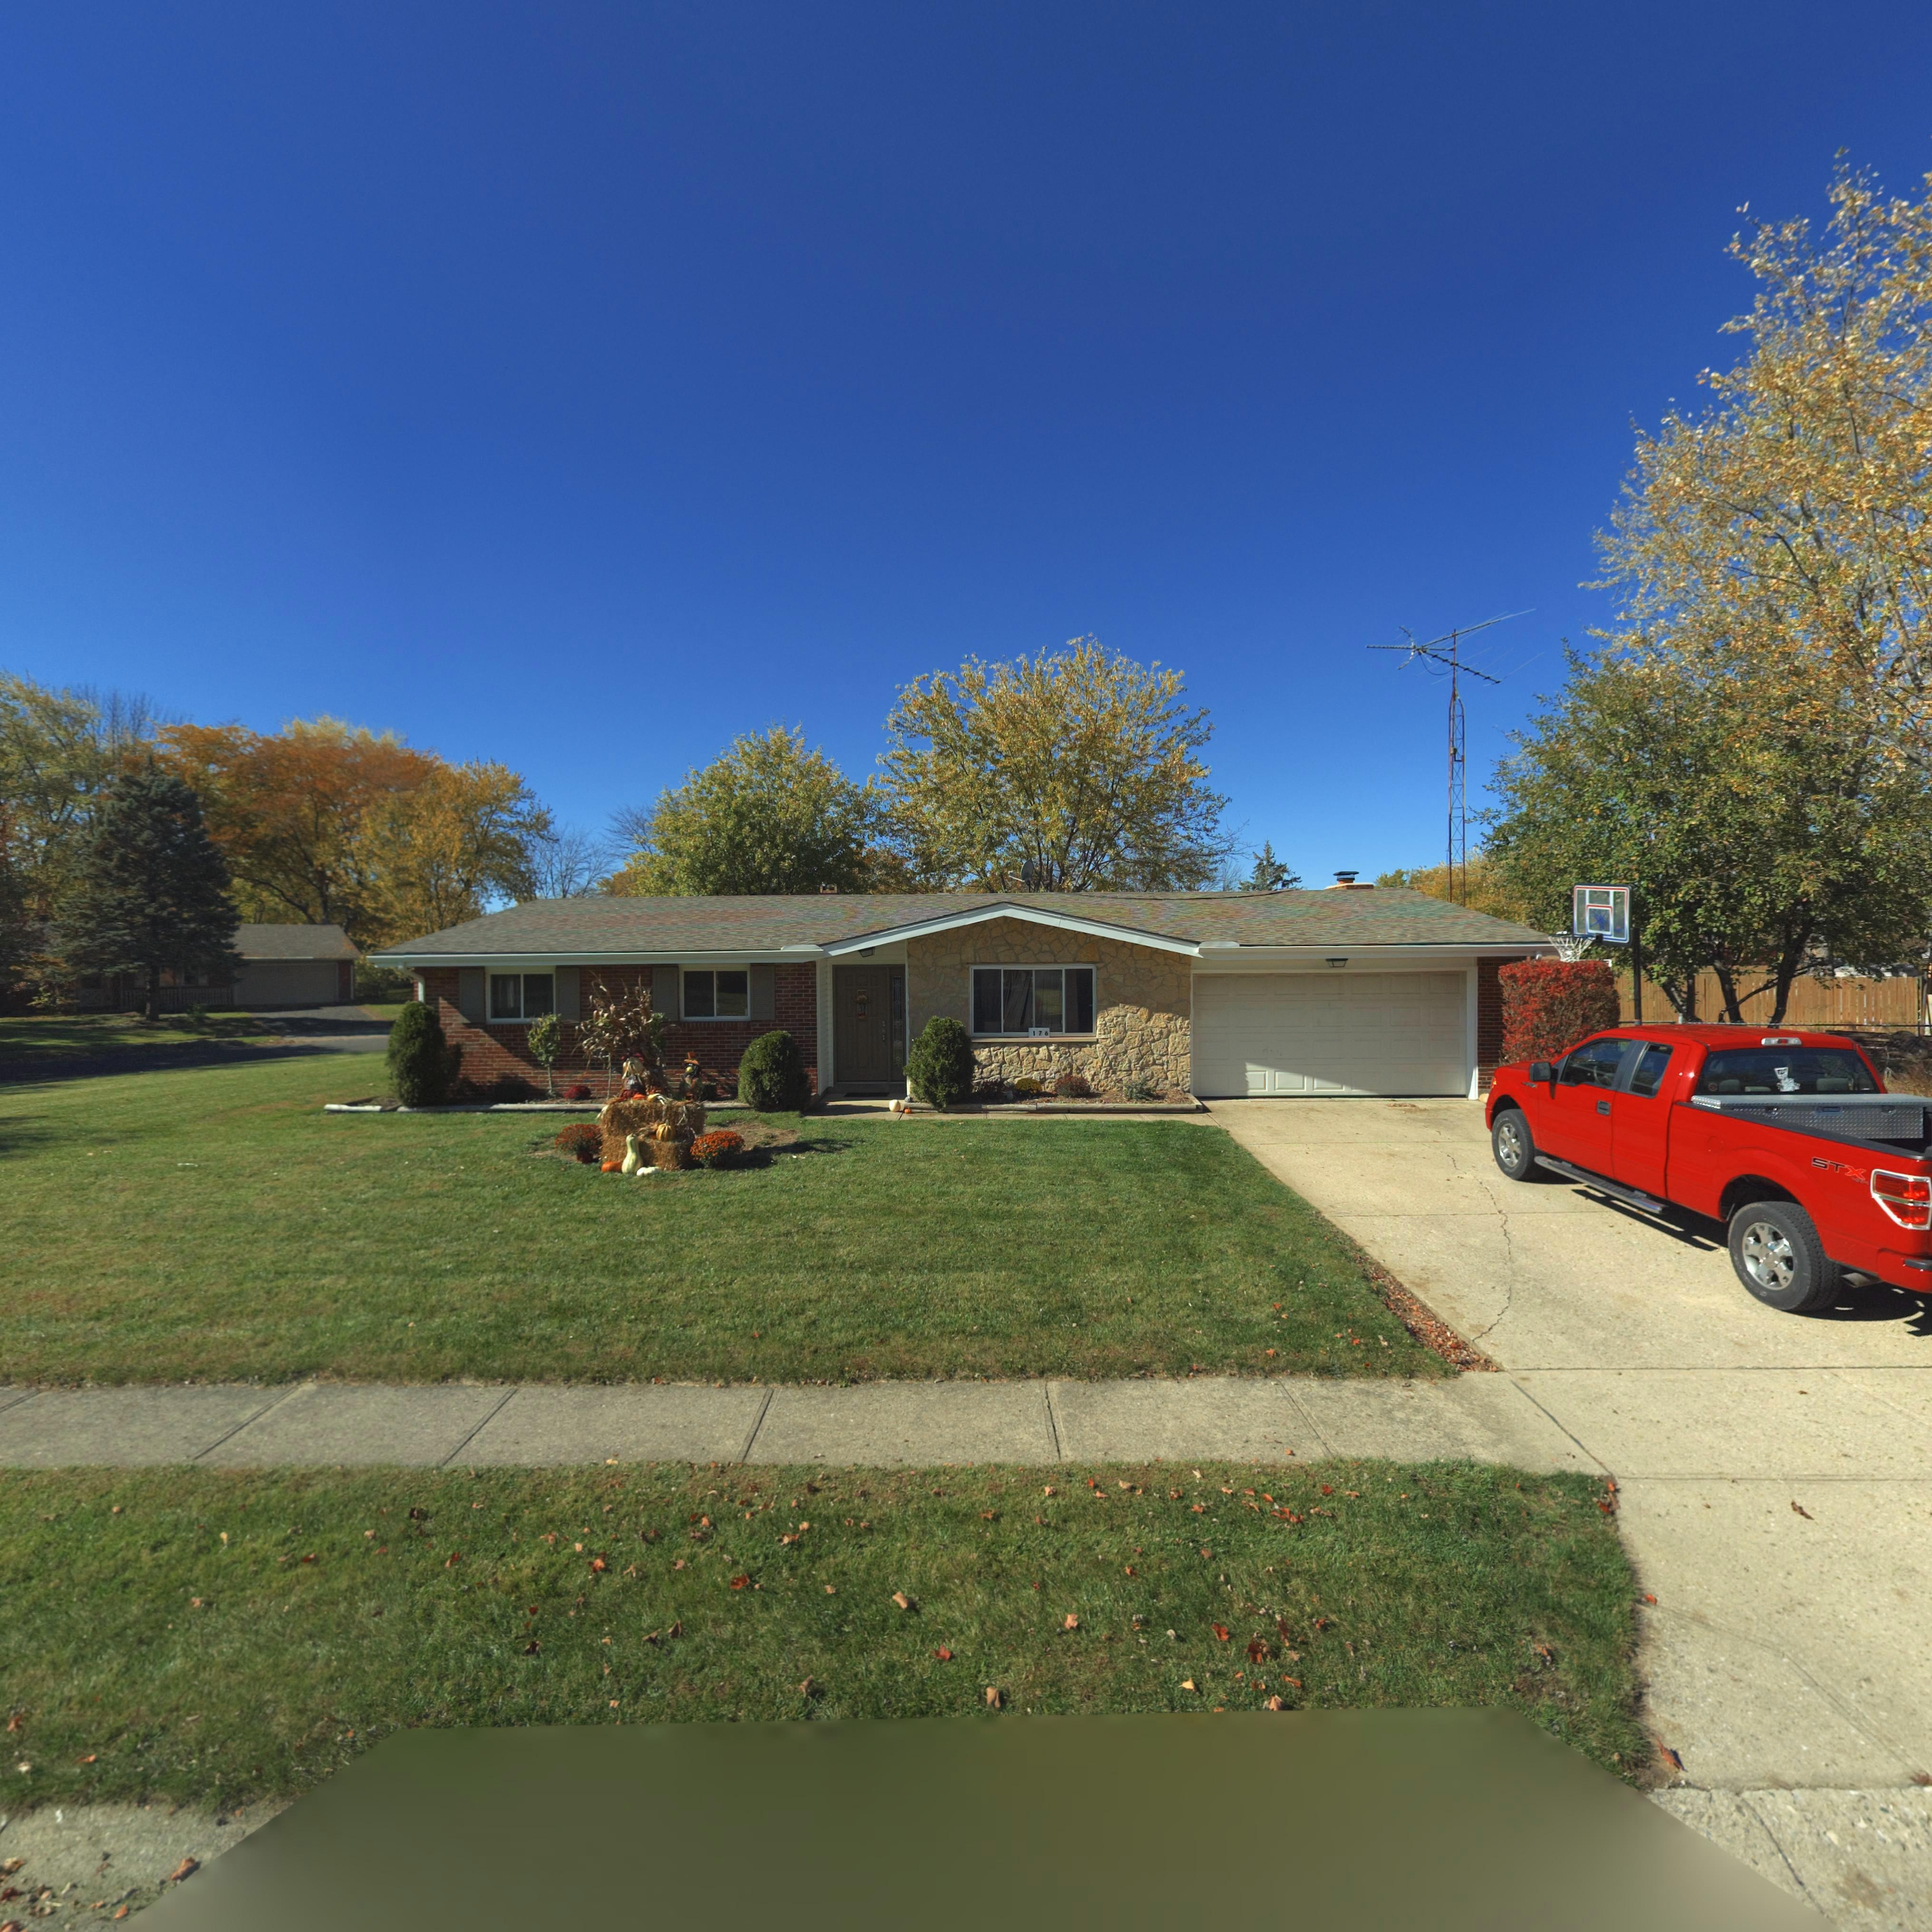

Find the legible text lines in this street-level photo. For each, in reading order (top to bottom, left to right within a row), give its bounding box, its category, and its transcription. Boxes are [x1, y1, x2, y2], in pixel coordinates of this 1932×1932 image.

[1032, 1030, 1050, 1037] StreetNumber: 176